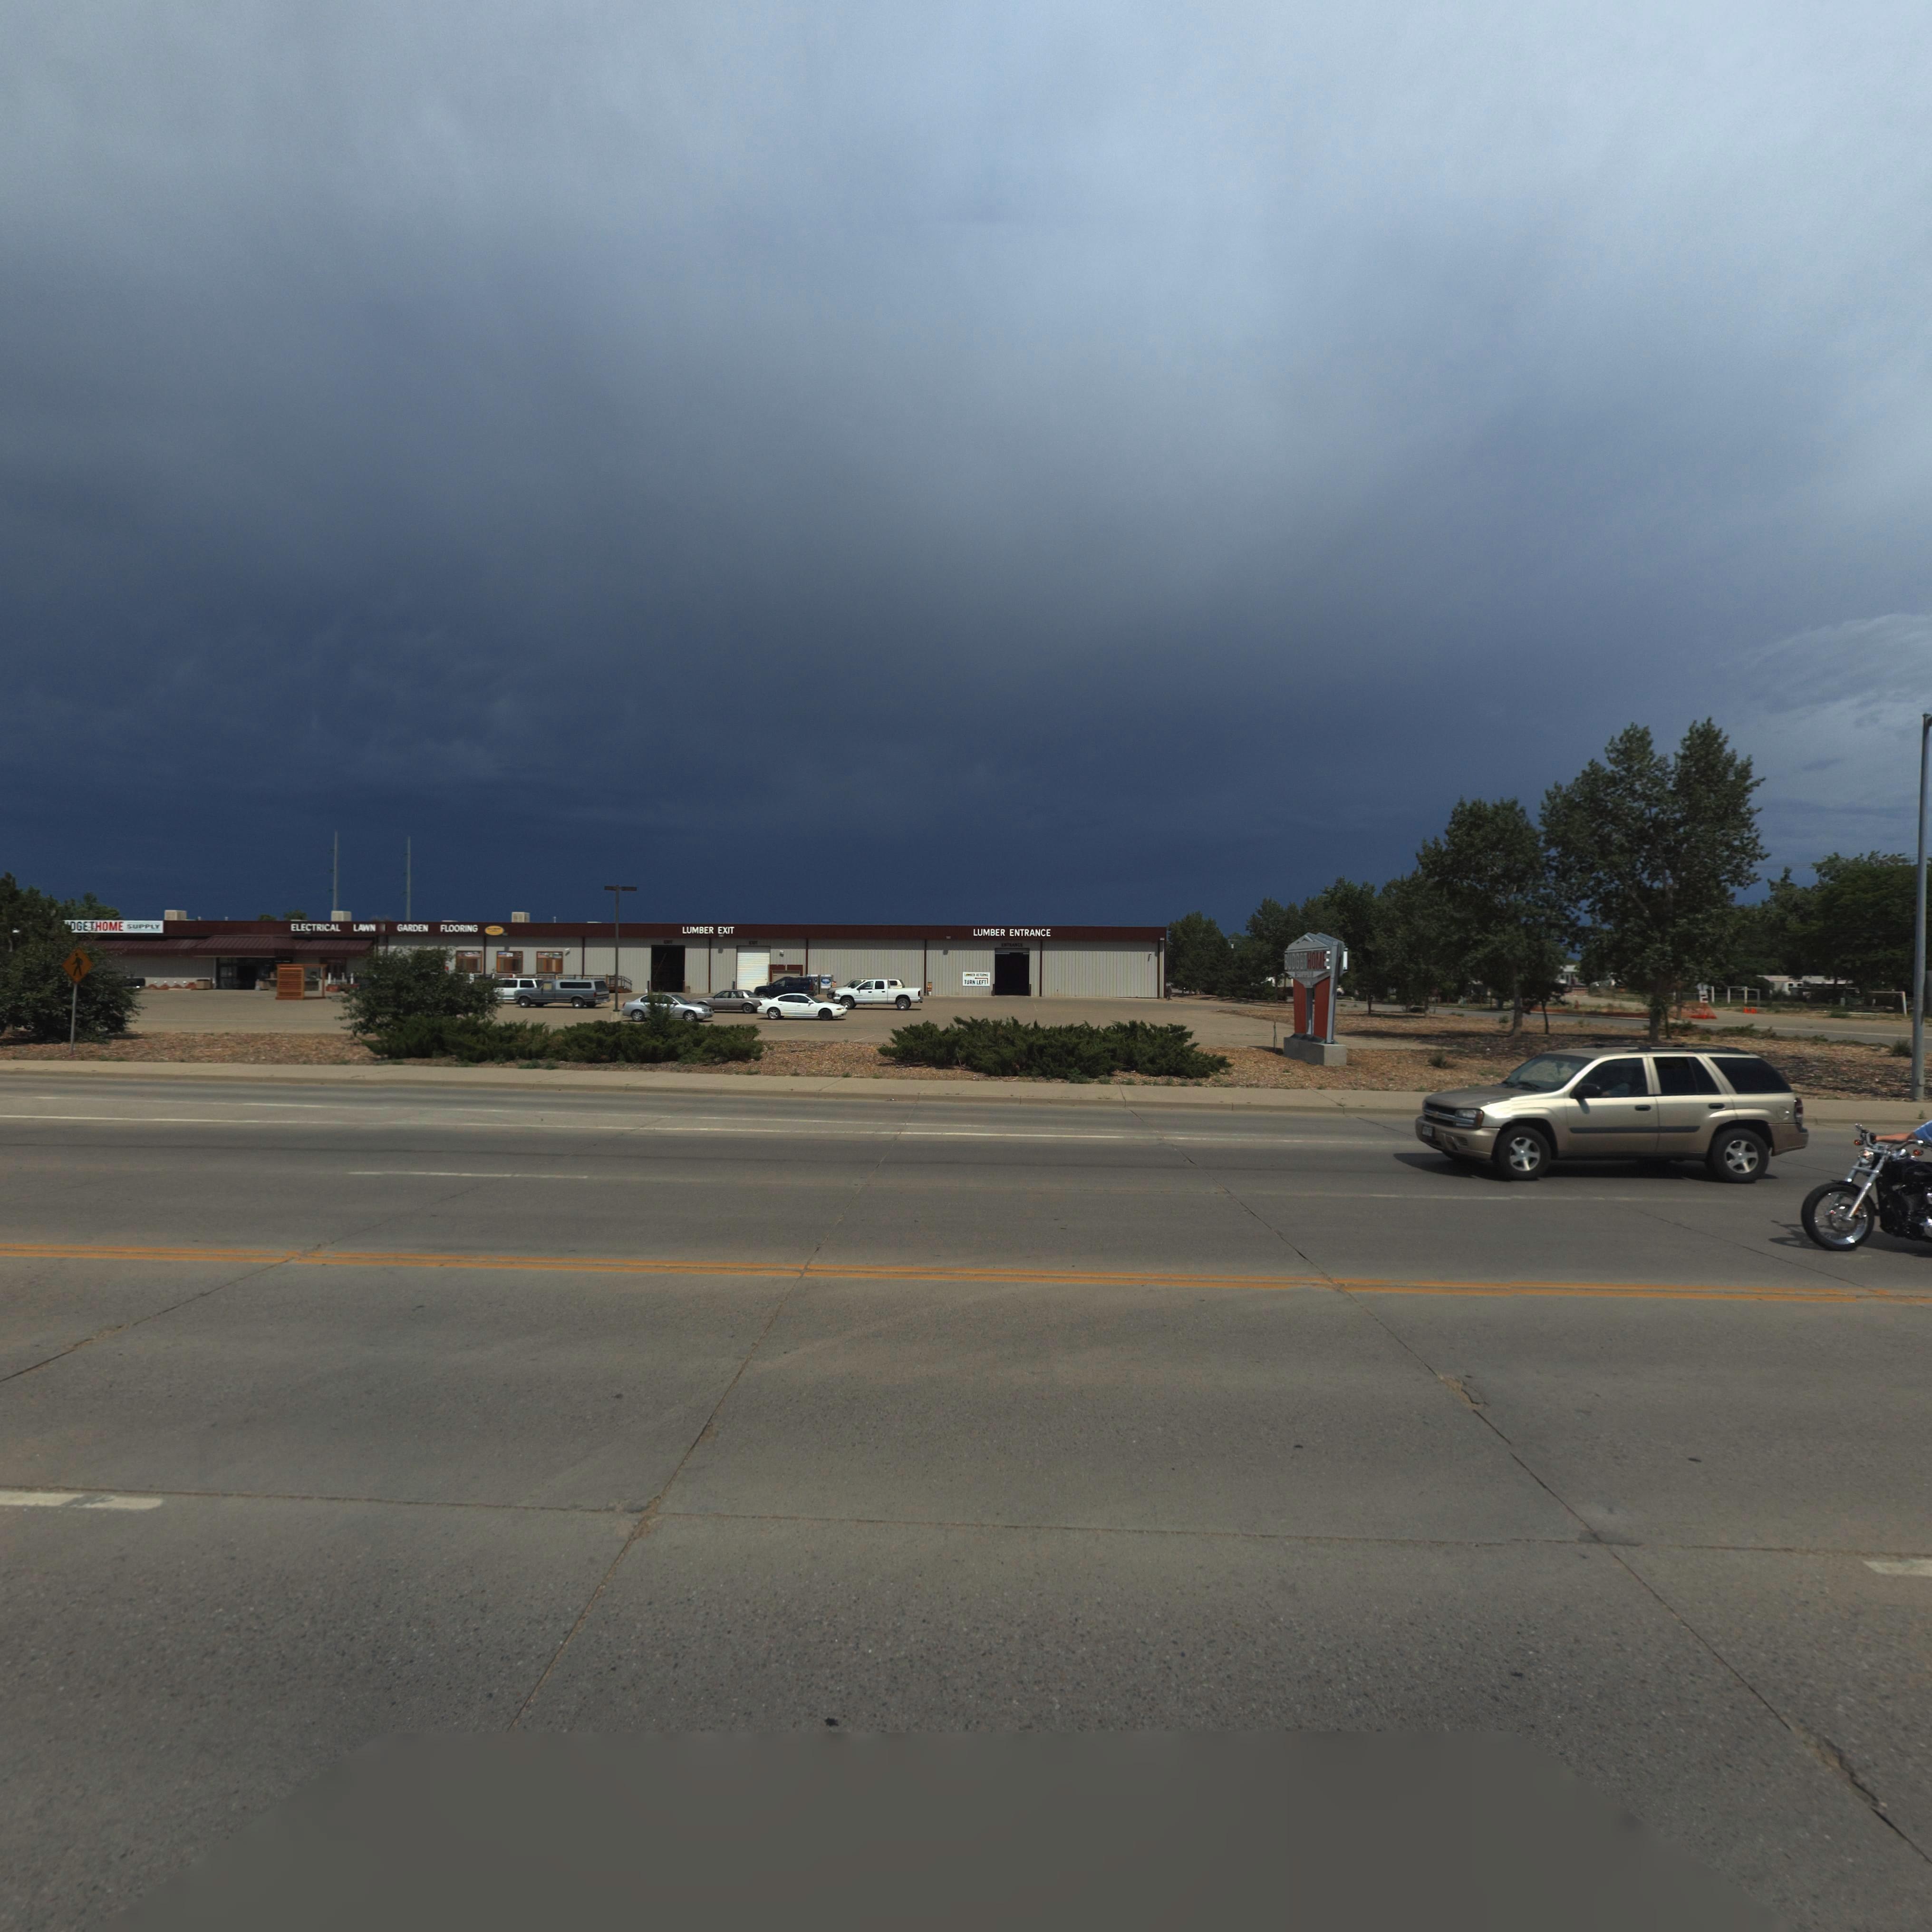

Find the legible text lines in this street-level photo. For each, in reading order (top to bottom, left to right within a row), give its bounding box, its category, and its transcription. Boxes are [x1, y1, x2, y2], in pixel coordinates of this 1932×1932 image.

[69, 921, 160, 931] BusinessName: DGETHOME SUPPLY
[1284, 951, 1326, 970] BusinessName: BUDGETHOME
[1295, 971, 1312, 977] BusinessName: SUPPLY